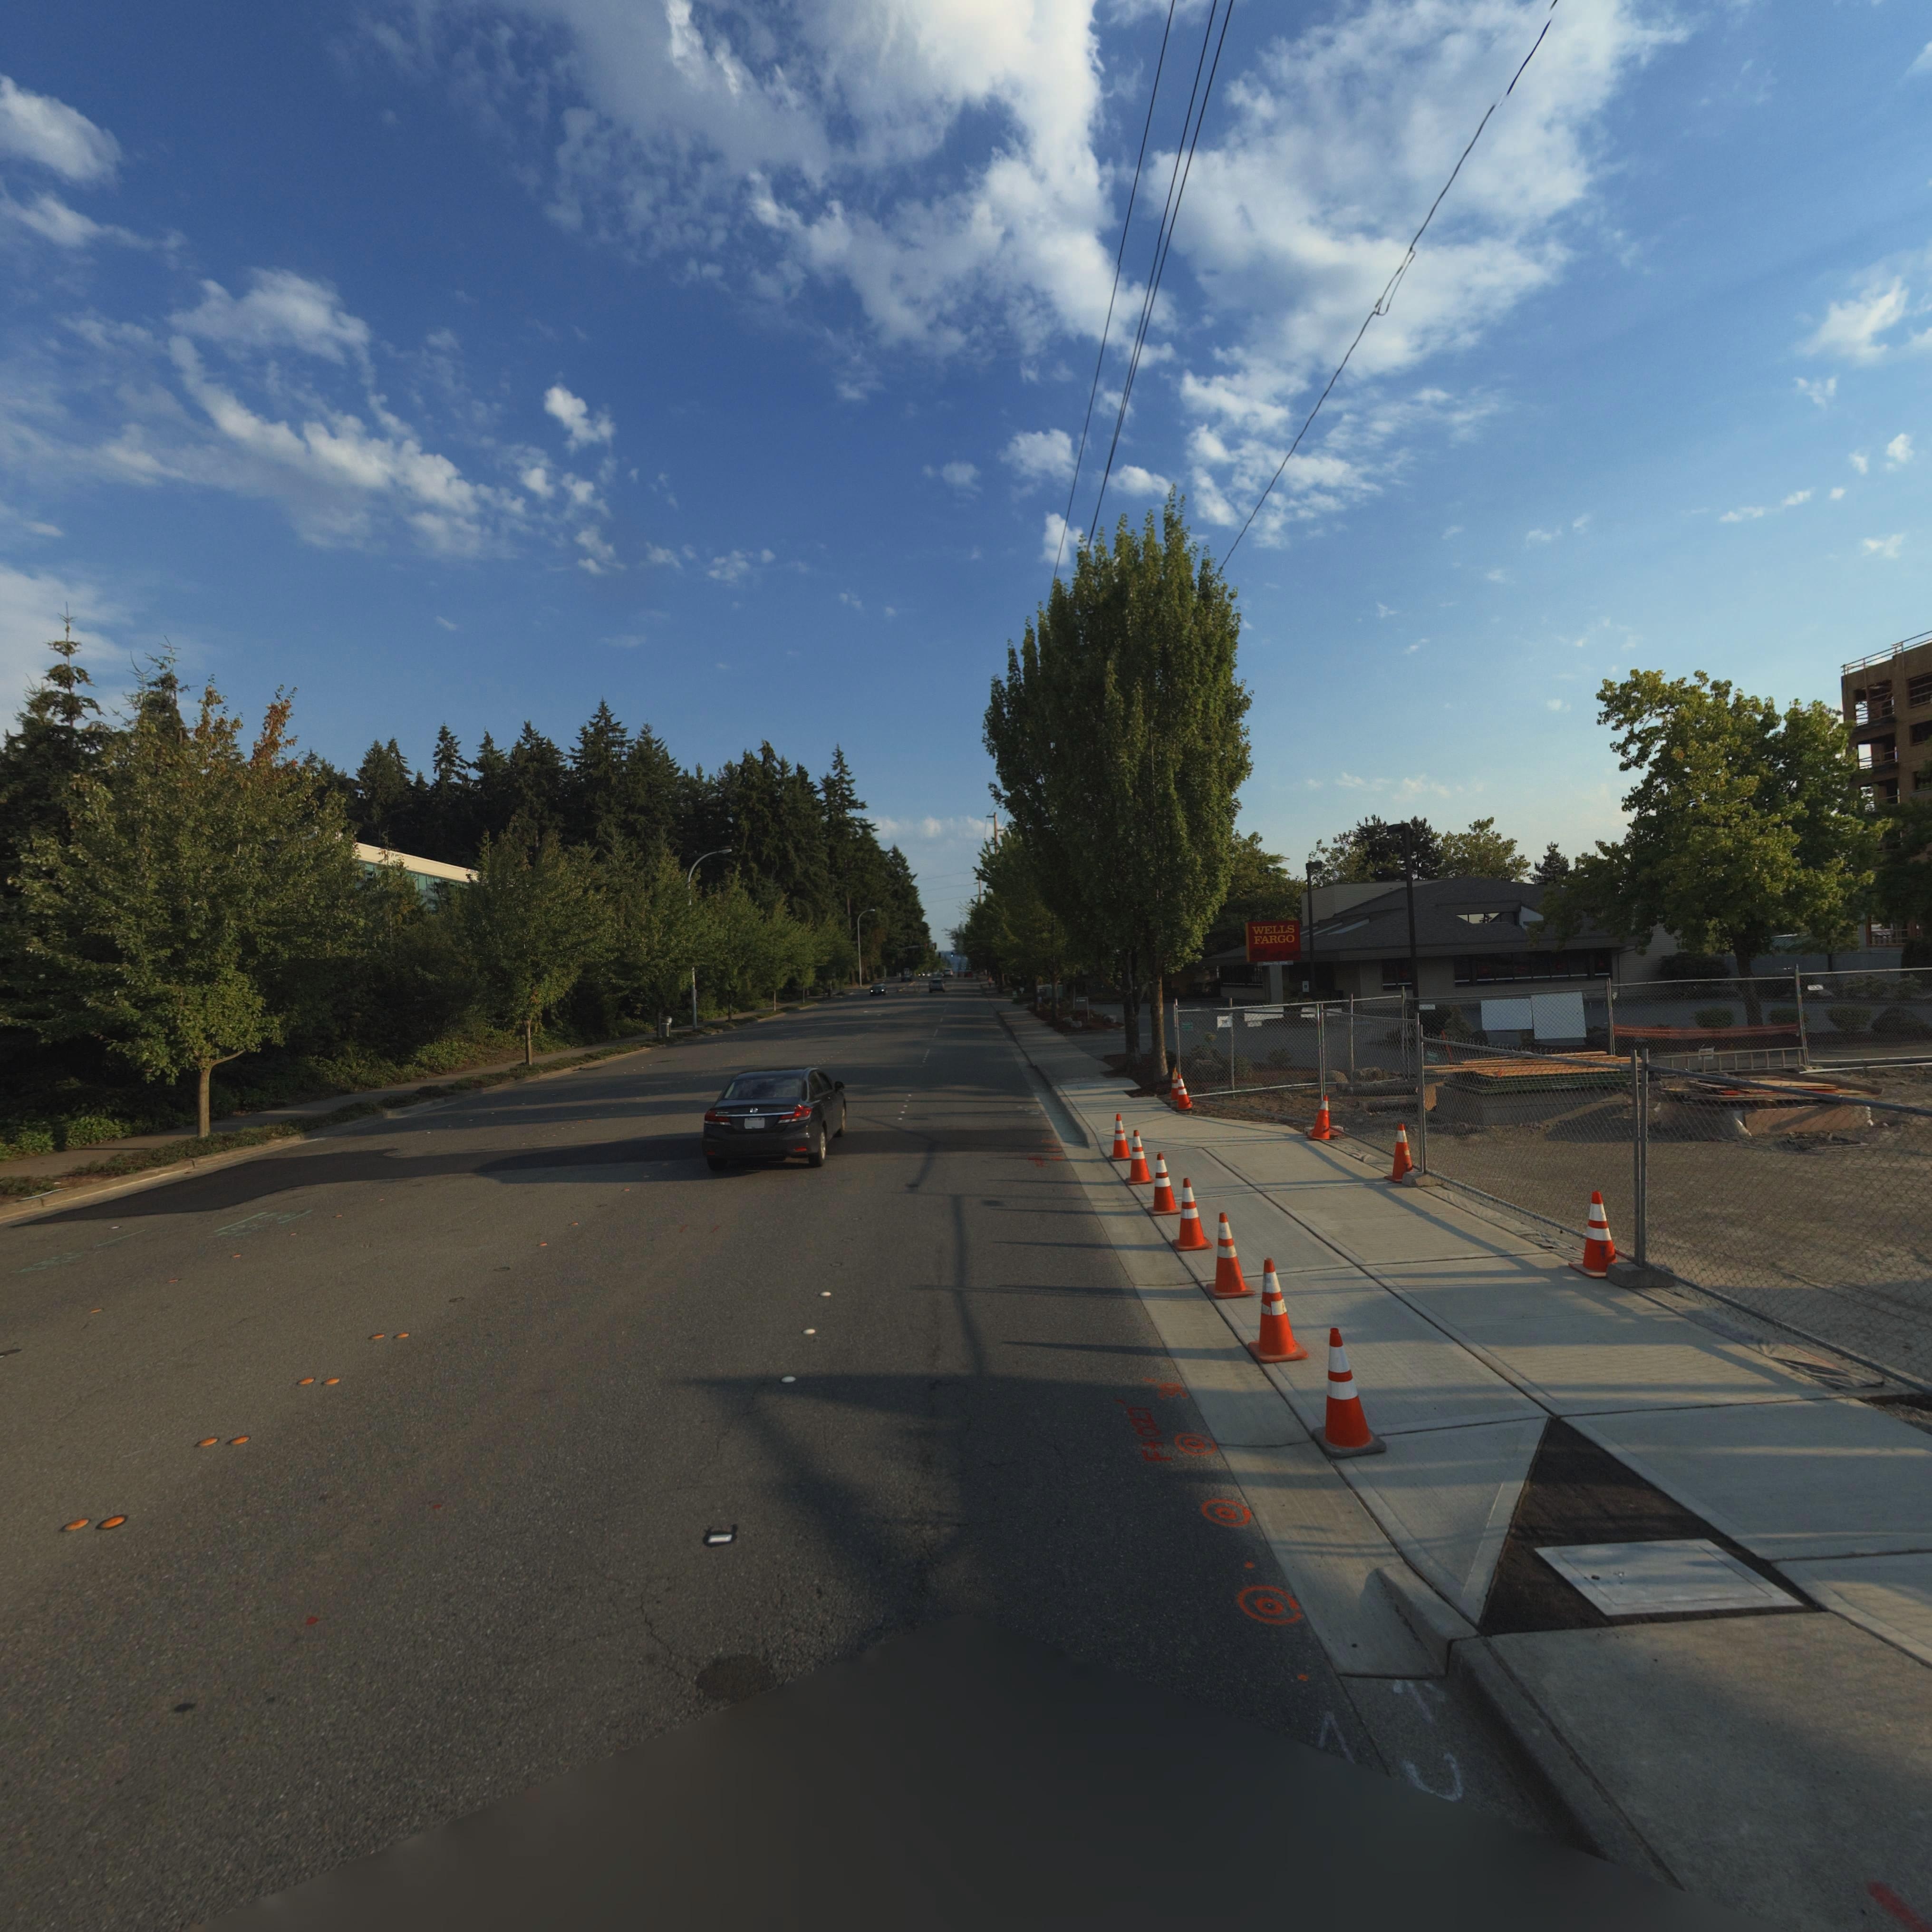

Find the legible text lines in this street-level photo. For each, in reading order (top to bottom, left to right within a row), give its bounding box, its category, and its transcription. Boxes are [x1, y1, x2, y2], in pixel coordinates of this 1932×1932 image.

[1251, 925, 1295, 934] BusinessName: WELLS
[1253, 934, 1295, 945] BusinessName: FARGO